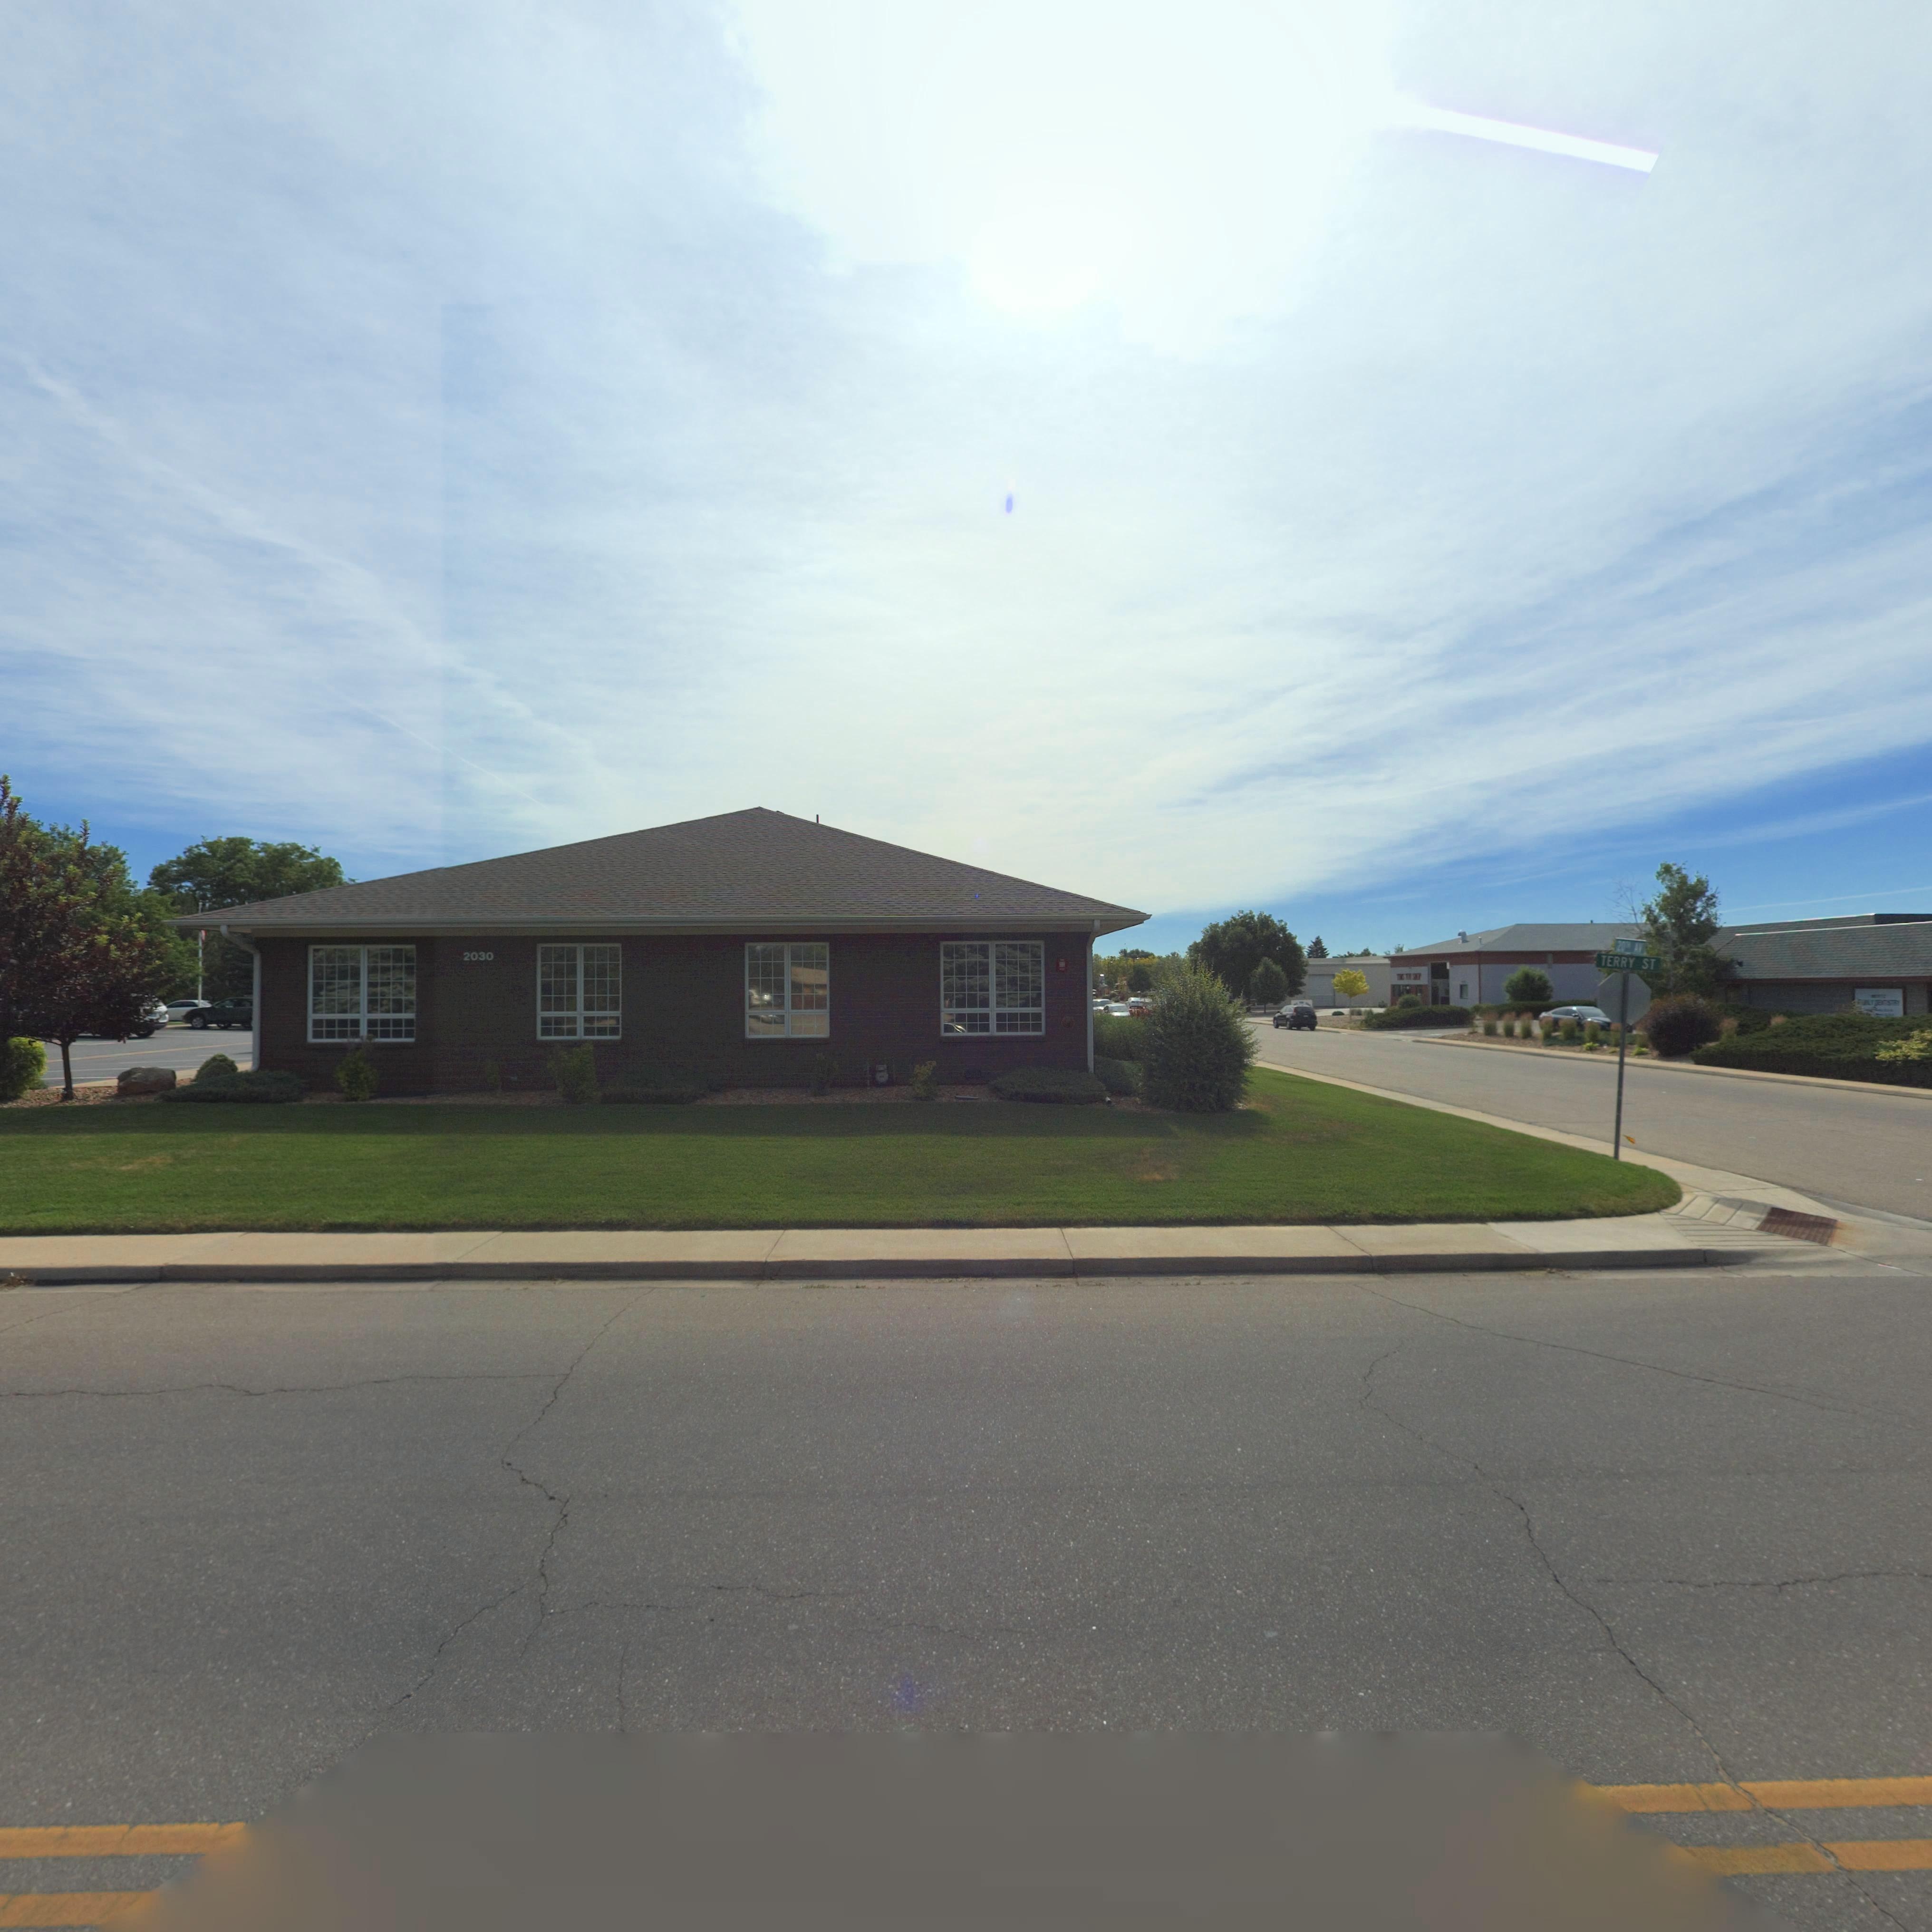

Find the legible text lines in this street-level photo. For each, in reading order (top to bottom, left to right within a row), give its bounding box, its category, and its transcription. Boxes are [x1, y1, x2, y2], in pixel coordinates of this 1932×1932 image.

[1616, 940, 1644, 954] StreetName: 20** AV
[463, 951, 494, 961] StreetNumber: 2030
[1600, 954, 1655, 970] StreetName: TERRY ST
[1396, 973, 1422, 980] BusinessName: ***S *** S*O*